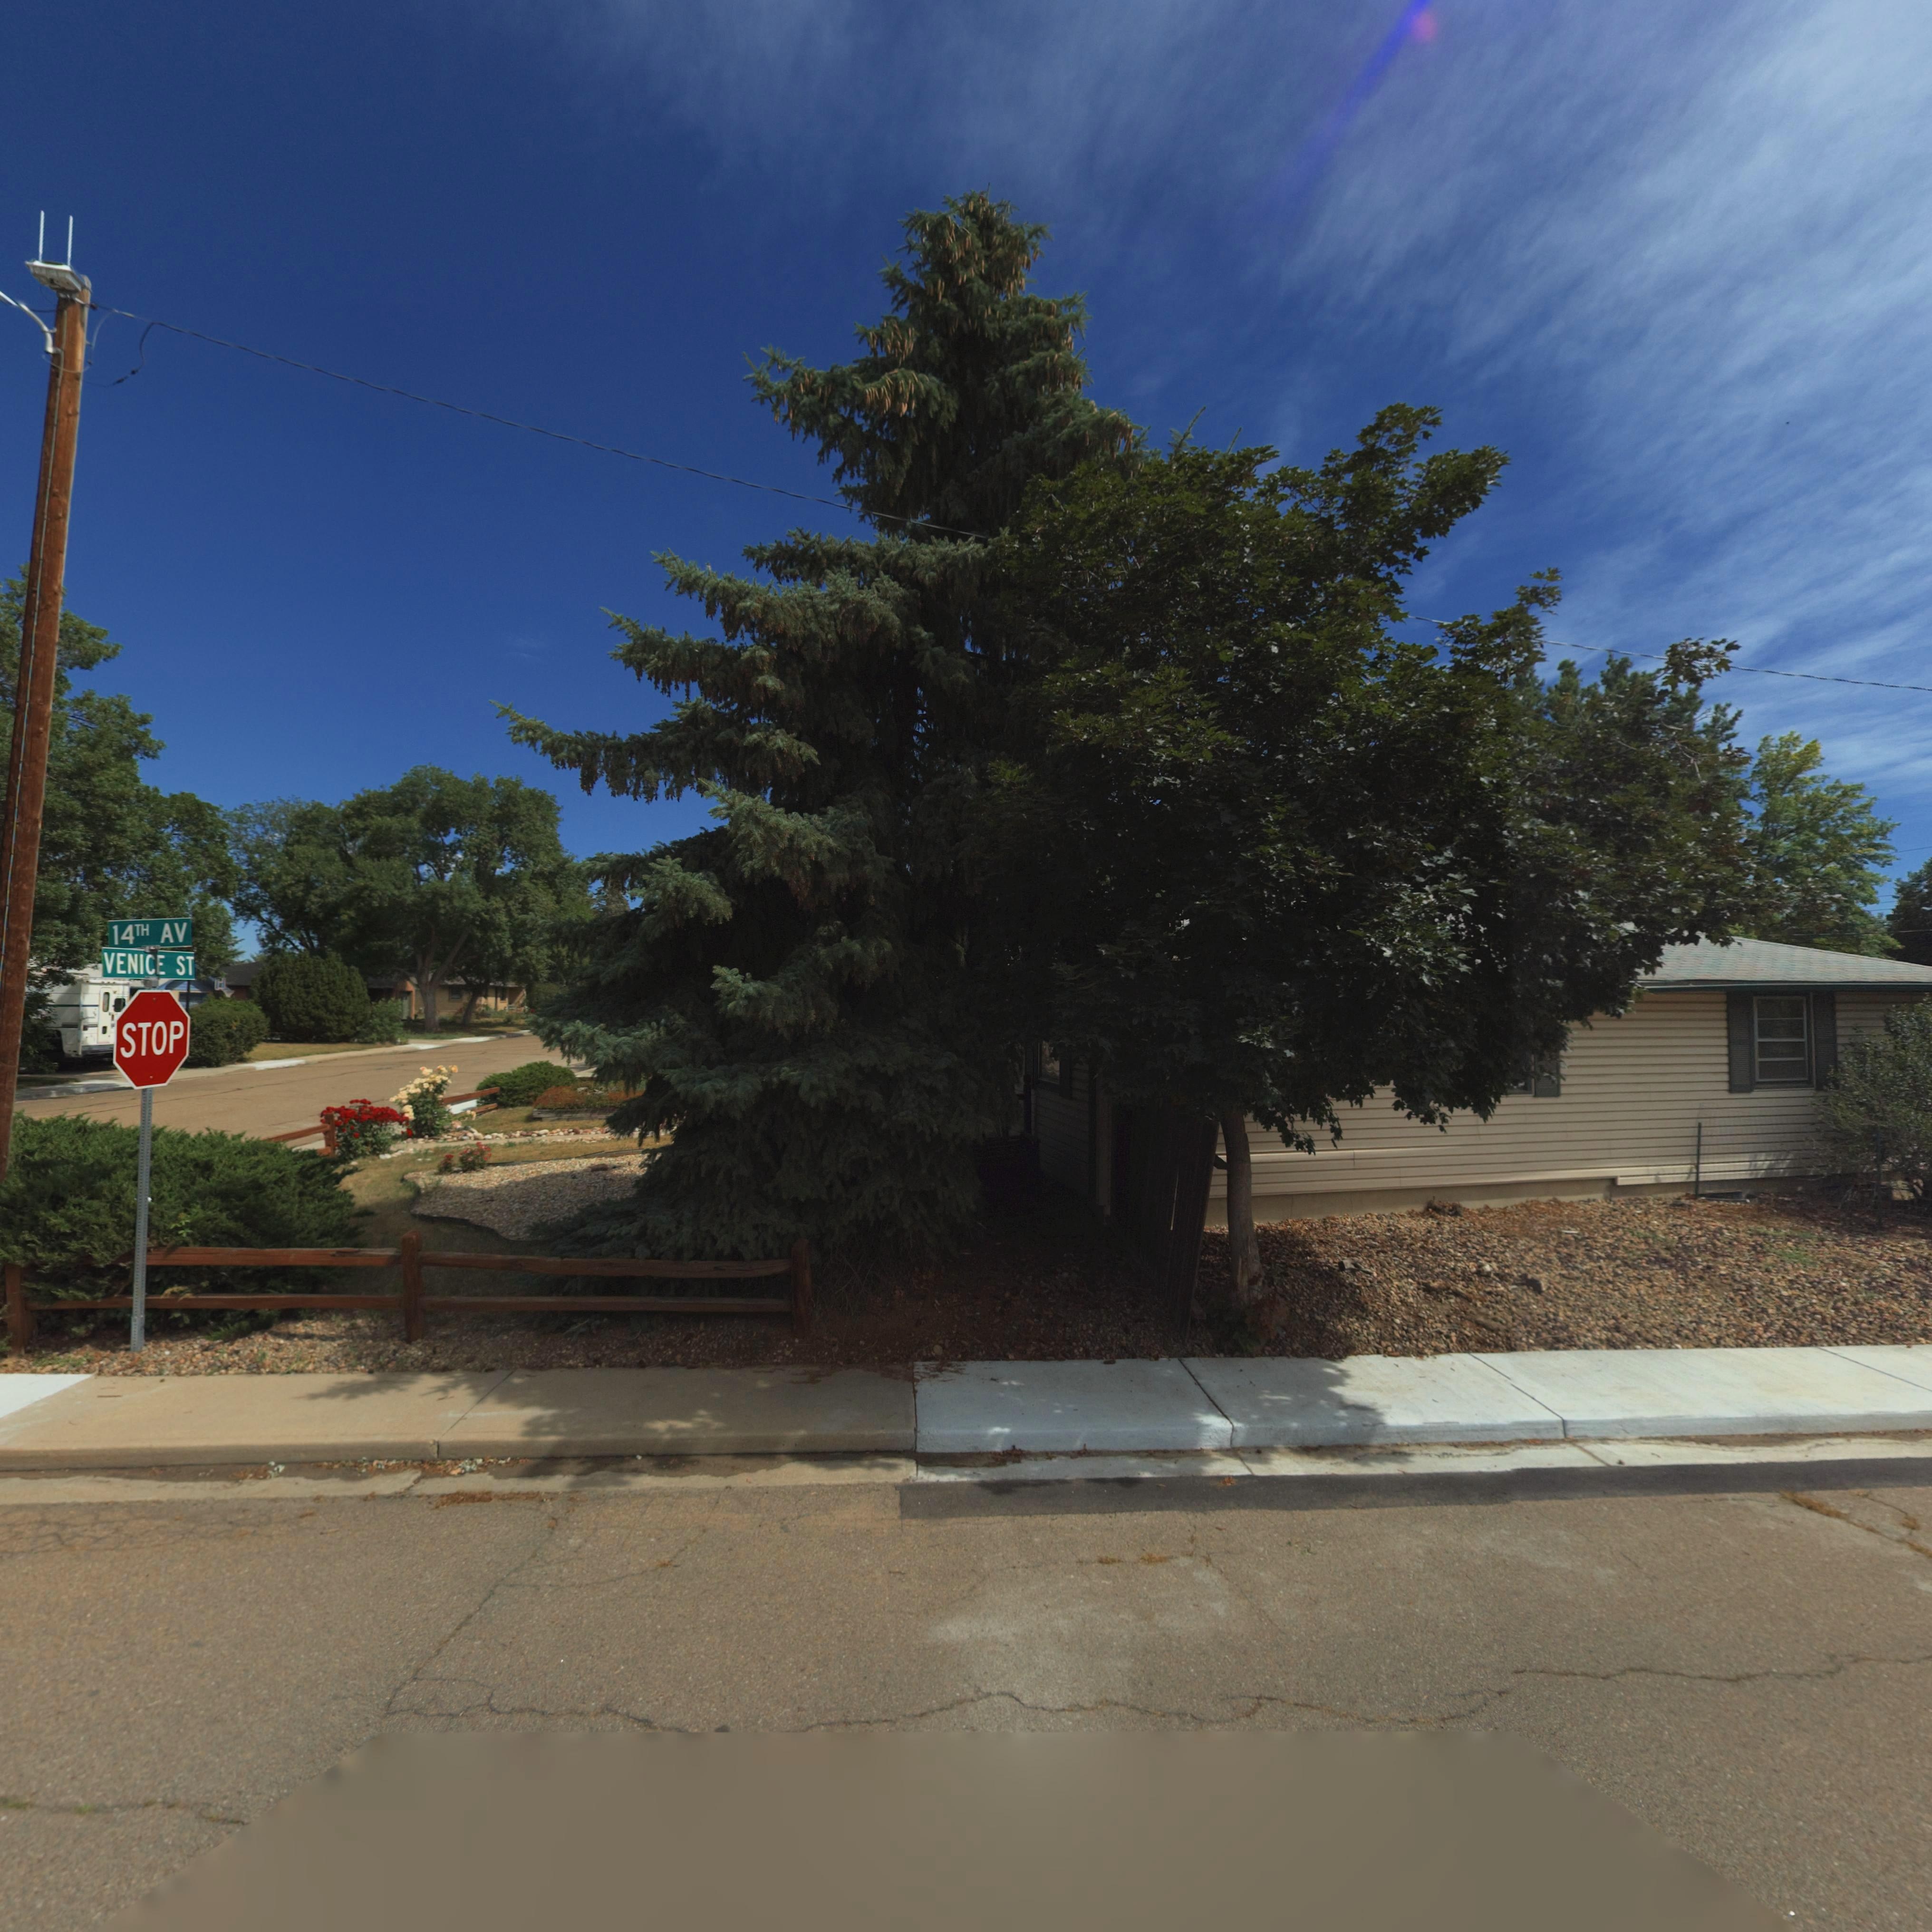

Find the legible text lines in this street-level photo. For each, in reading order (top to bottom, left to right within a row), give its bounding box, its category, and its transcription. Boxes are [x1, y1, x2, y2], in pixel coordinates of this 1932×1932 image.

[112, 922, 188, 945] StreetName: 14TH AV
[103, 951, 194, 976] StreetName: VENICE ST